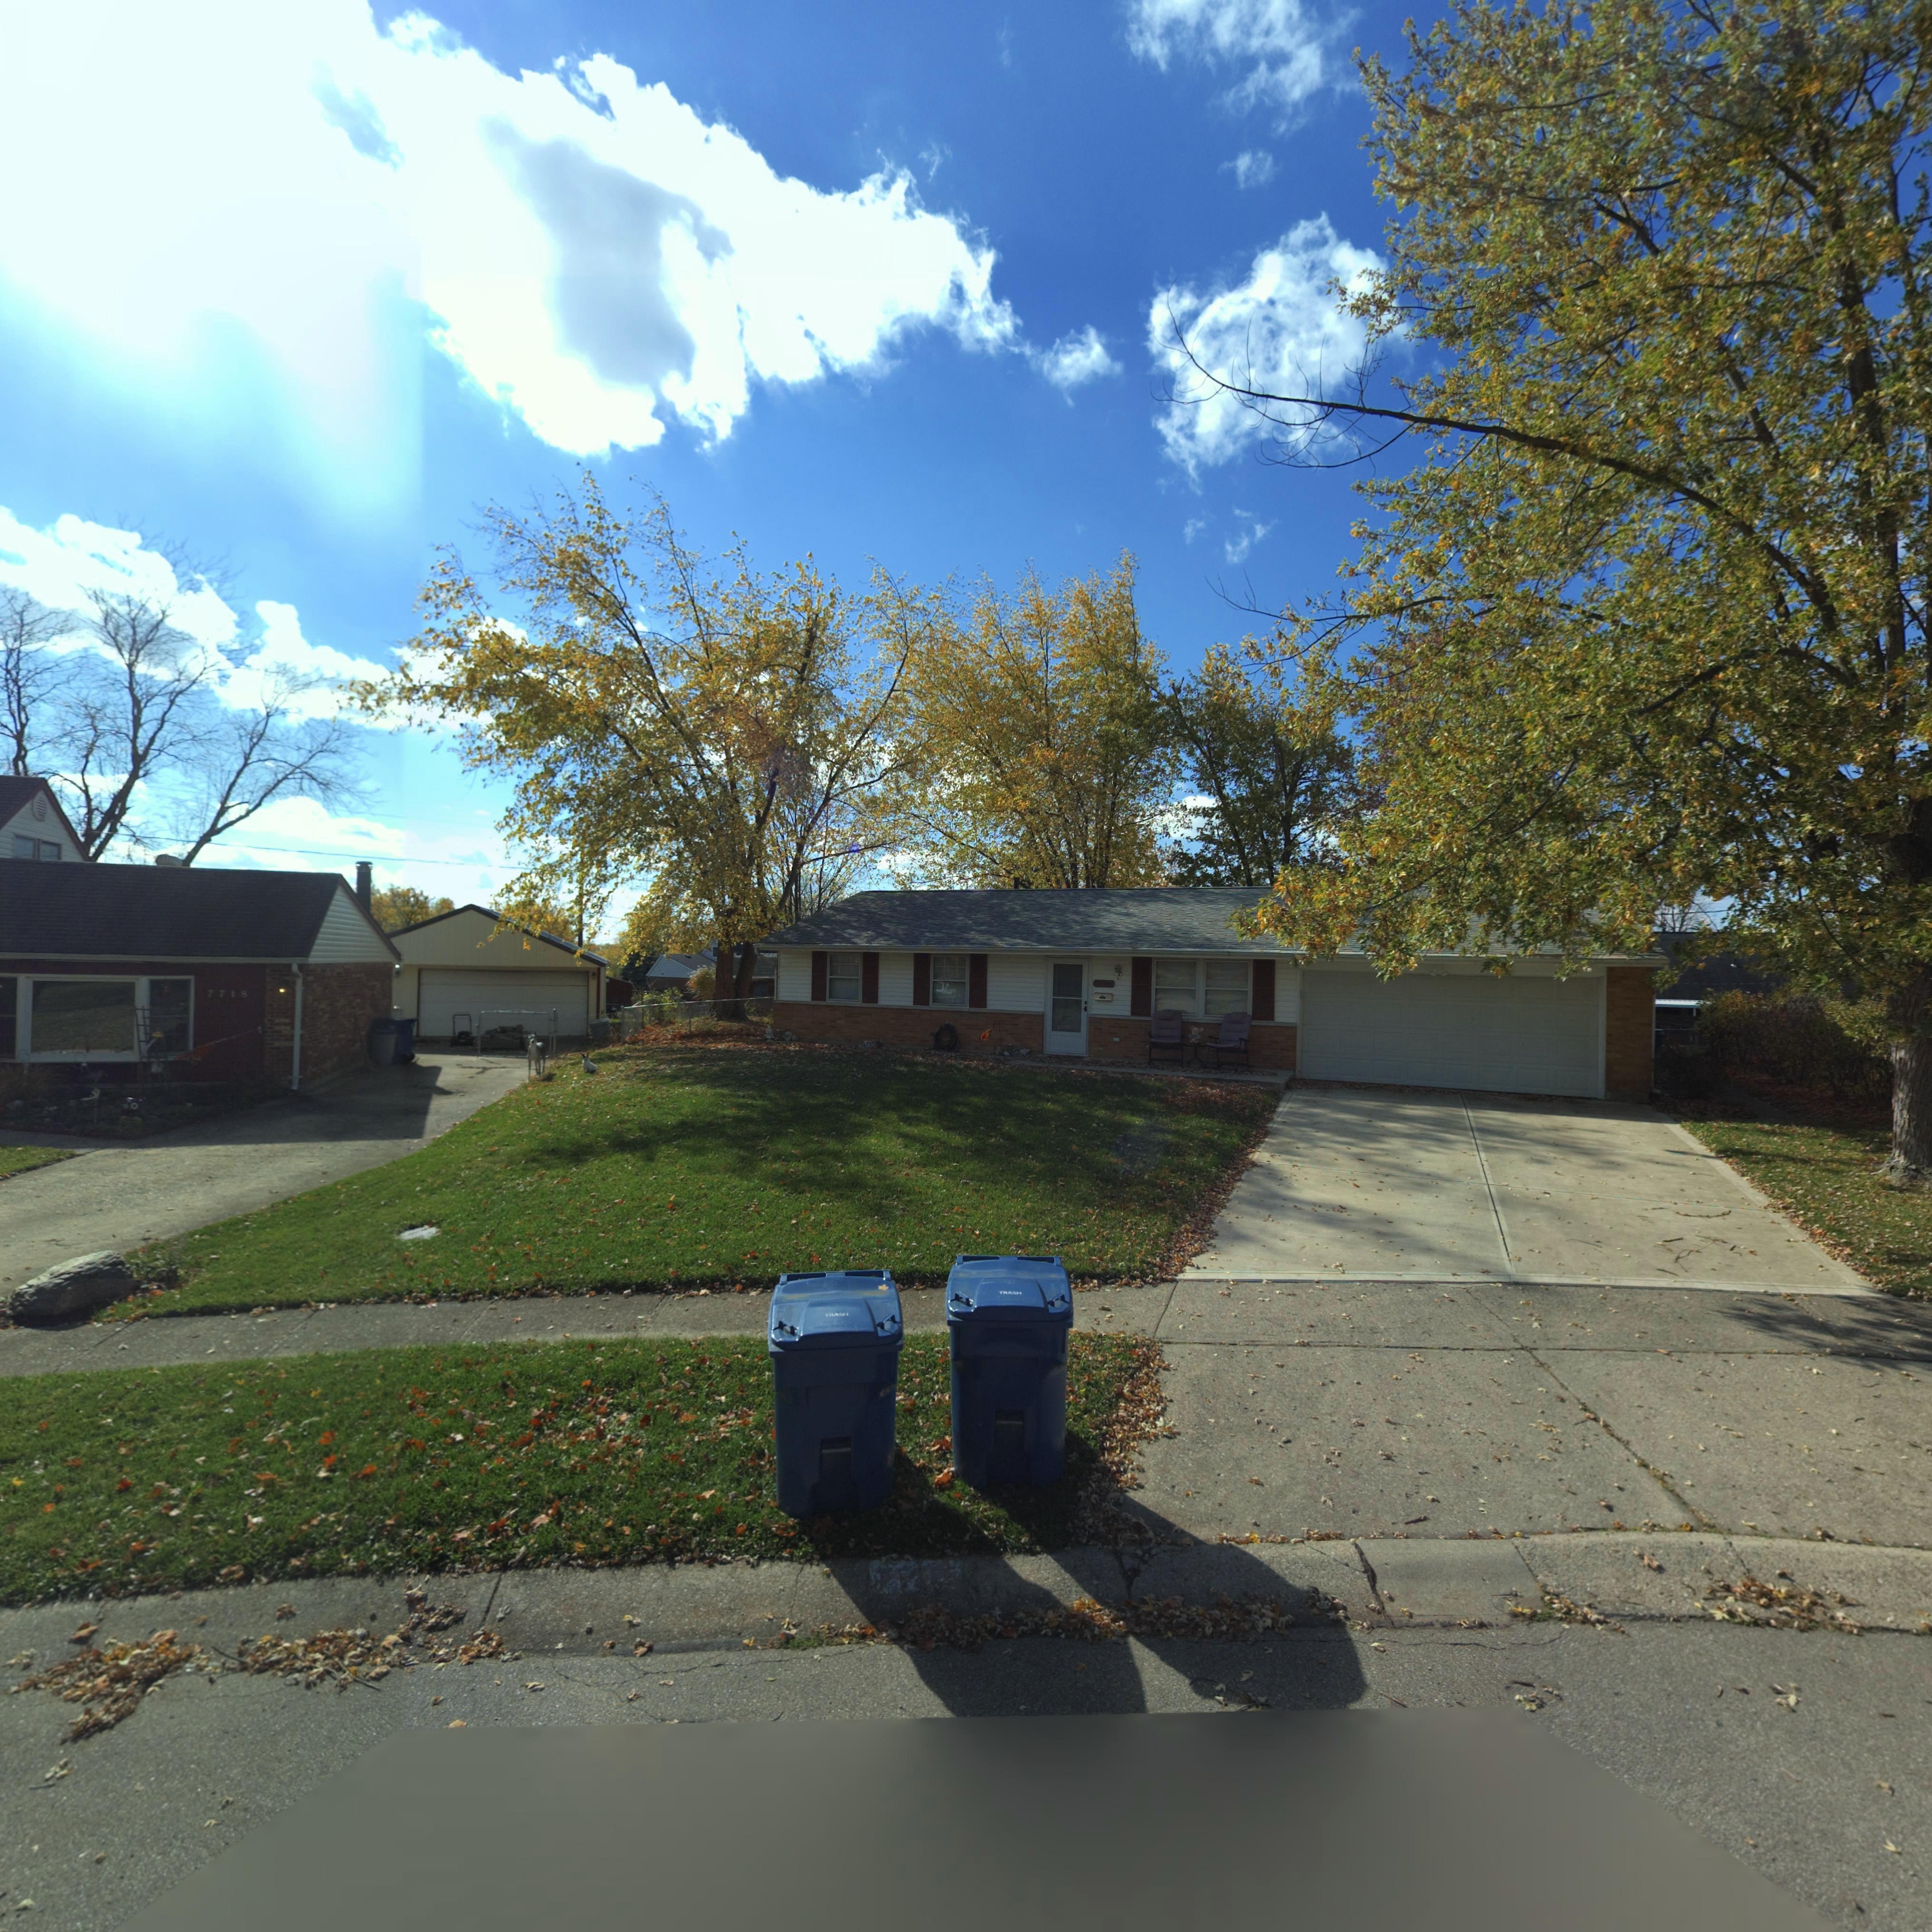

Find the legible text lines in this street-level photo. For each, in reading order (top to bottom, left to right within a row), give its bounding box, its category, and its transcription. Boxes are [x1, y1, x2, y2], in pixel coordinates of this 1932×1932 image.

[206, 989, 248, 999] StreetNumber: 7718
[873, 1567, 895, 1592] StreetNumber: 7